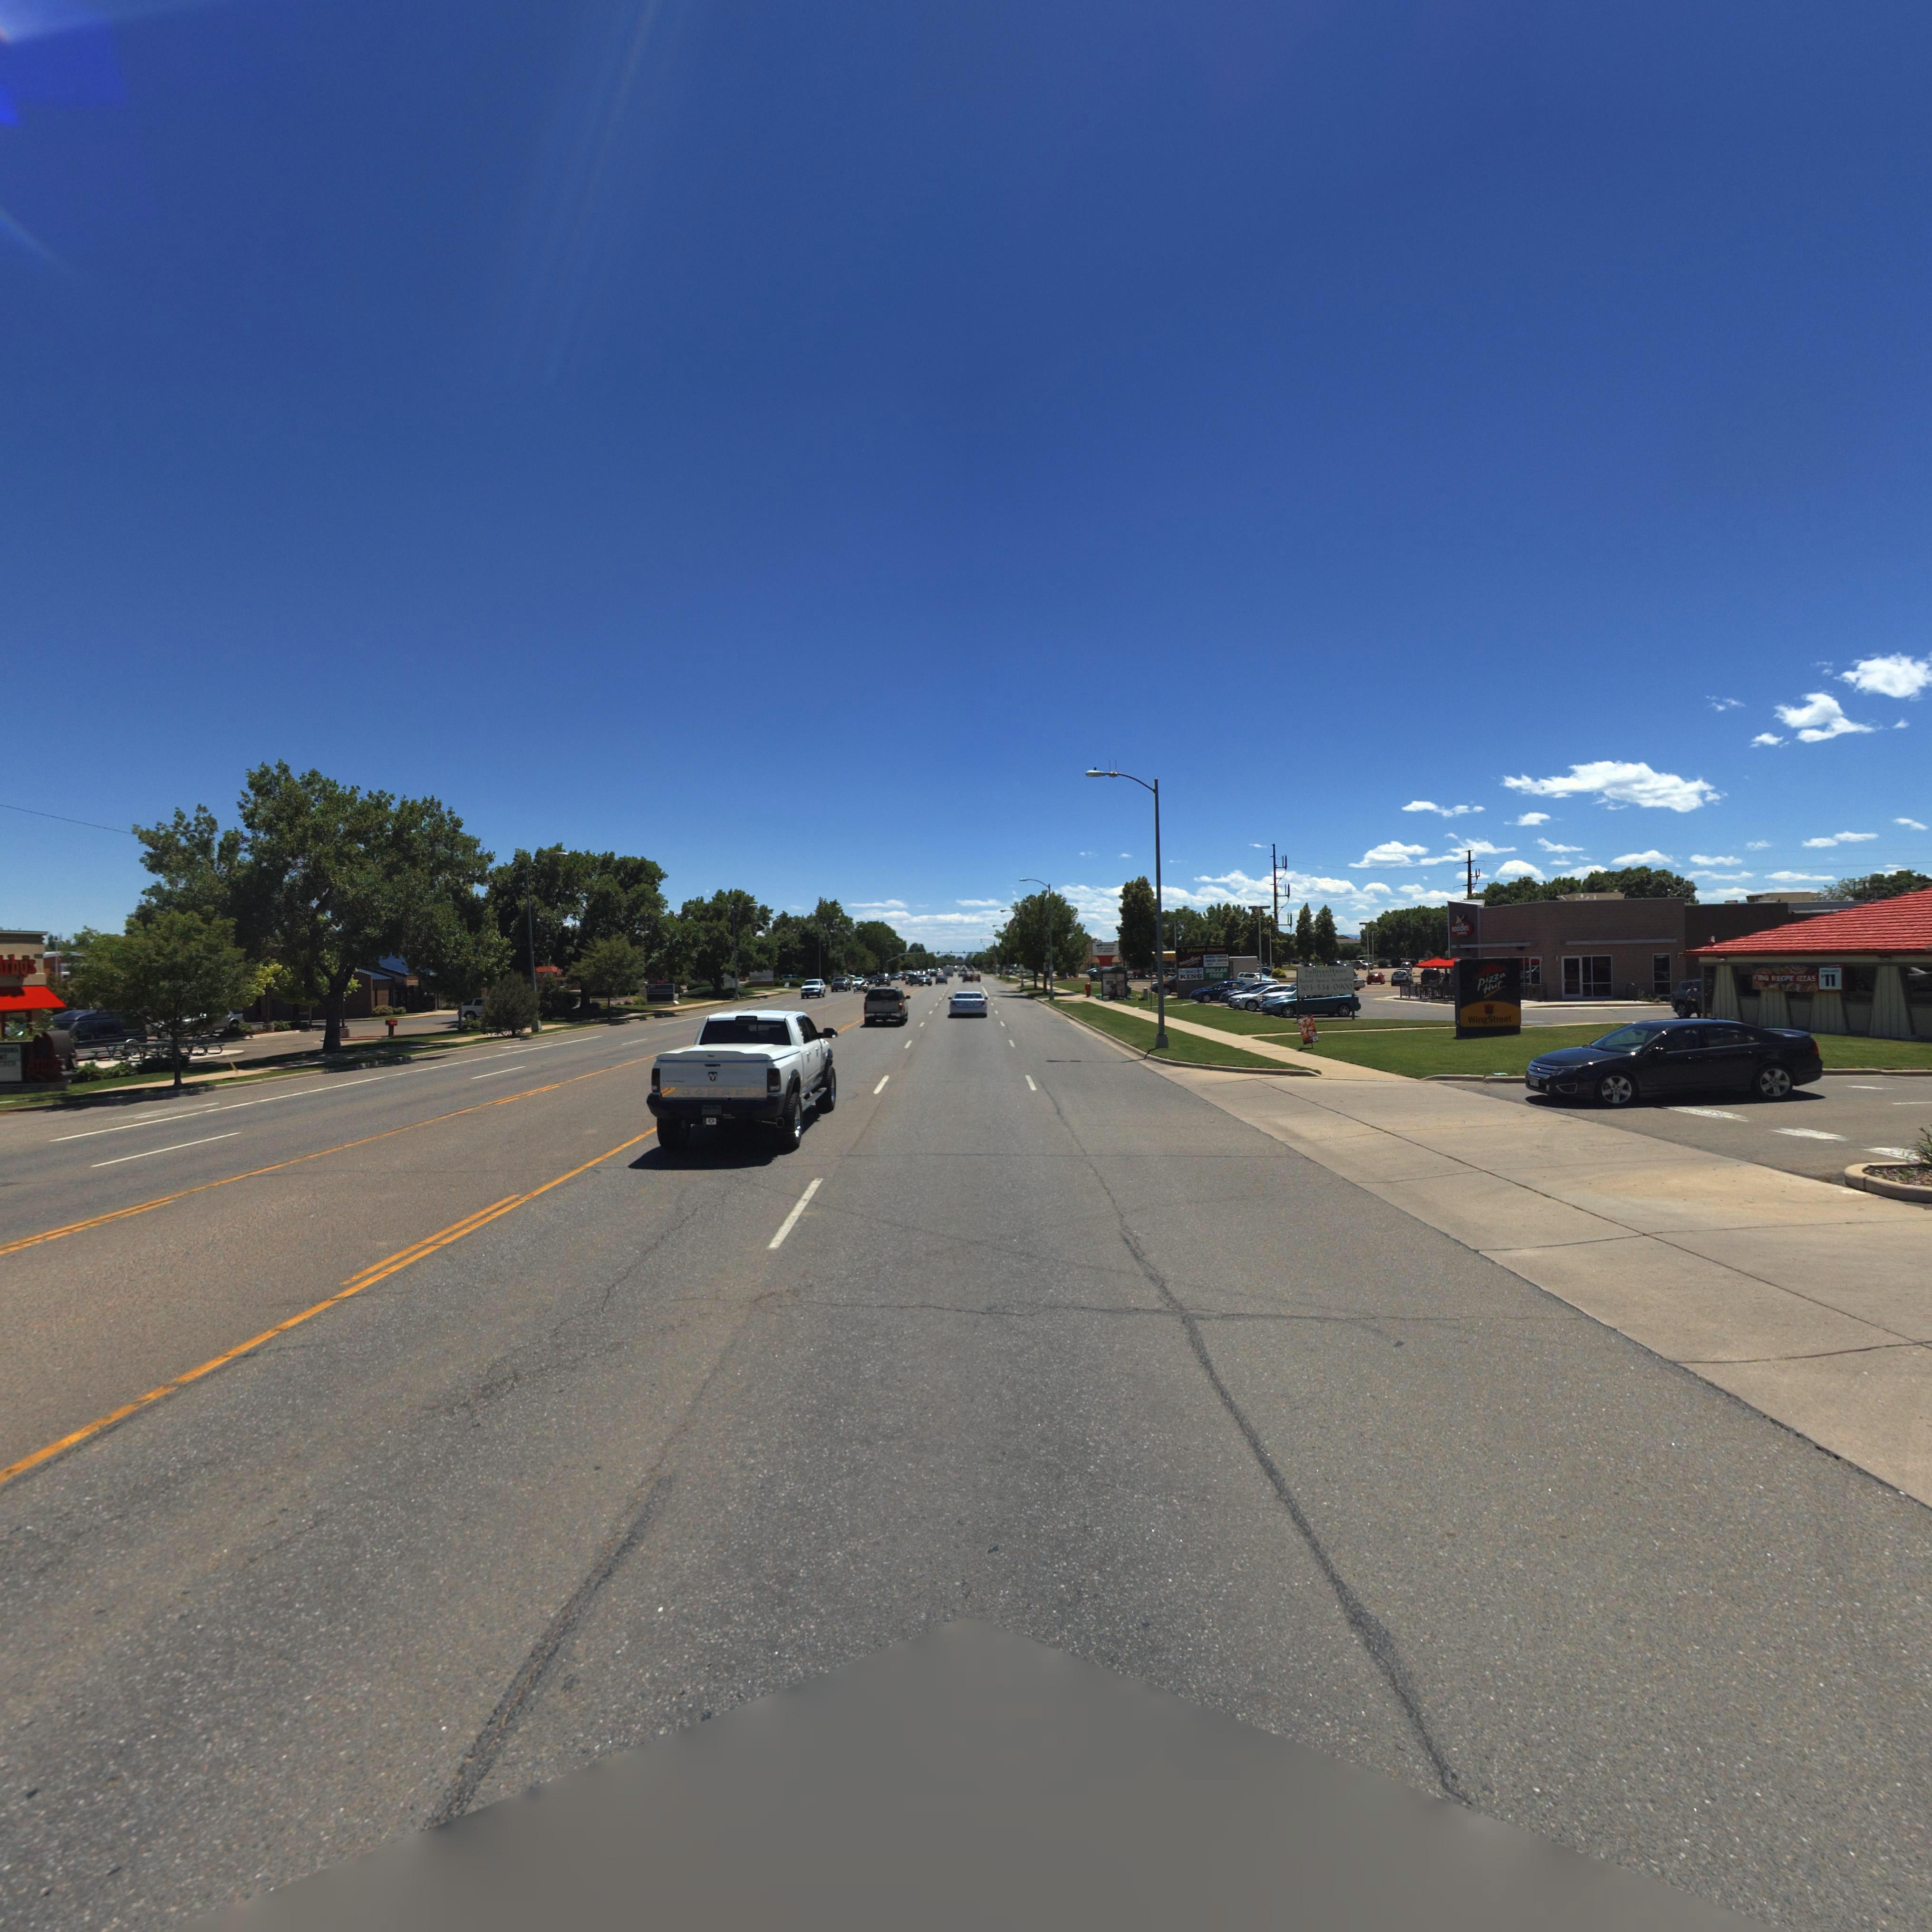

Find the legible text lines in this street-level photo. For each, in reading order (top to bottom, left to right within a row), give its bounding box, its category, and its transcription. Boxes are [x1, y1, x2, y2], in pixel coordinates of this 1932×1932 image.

[1451, 923, 1468, 931] BusinessName: *ood***
[1187, 947, 1226, 953] BusinessName: pla*** ***n***
[1179, 956, 1201, 966] BusinessName: nood***
[3, 954, 36, 978] BusinessName: rby*s
[1206, 968, 1227, 973] BusinessName: DOLLAR
[1180, 974, 1202, 978] BusinessName: KING
[1209, 973, 1224, 978] BusinessName: T*EE
[1477, 972, 1506, 991] BusinessName: pizza
[1483, 980, 1502, 994] BusinessName: Hut
[1468, 1014, 1511, 1025] BusinessName: WingStreet